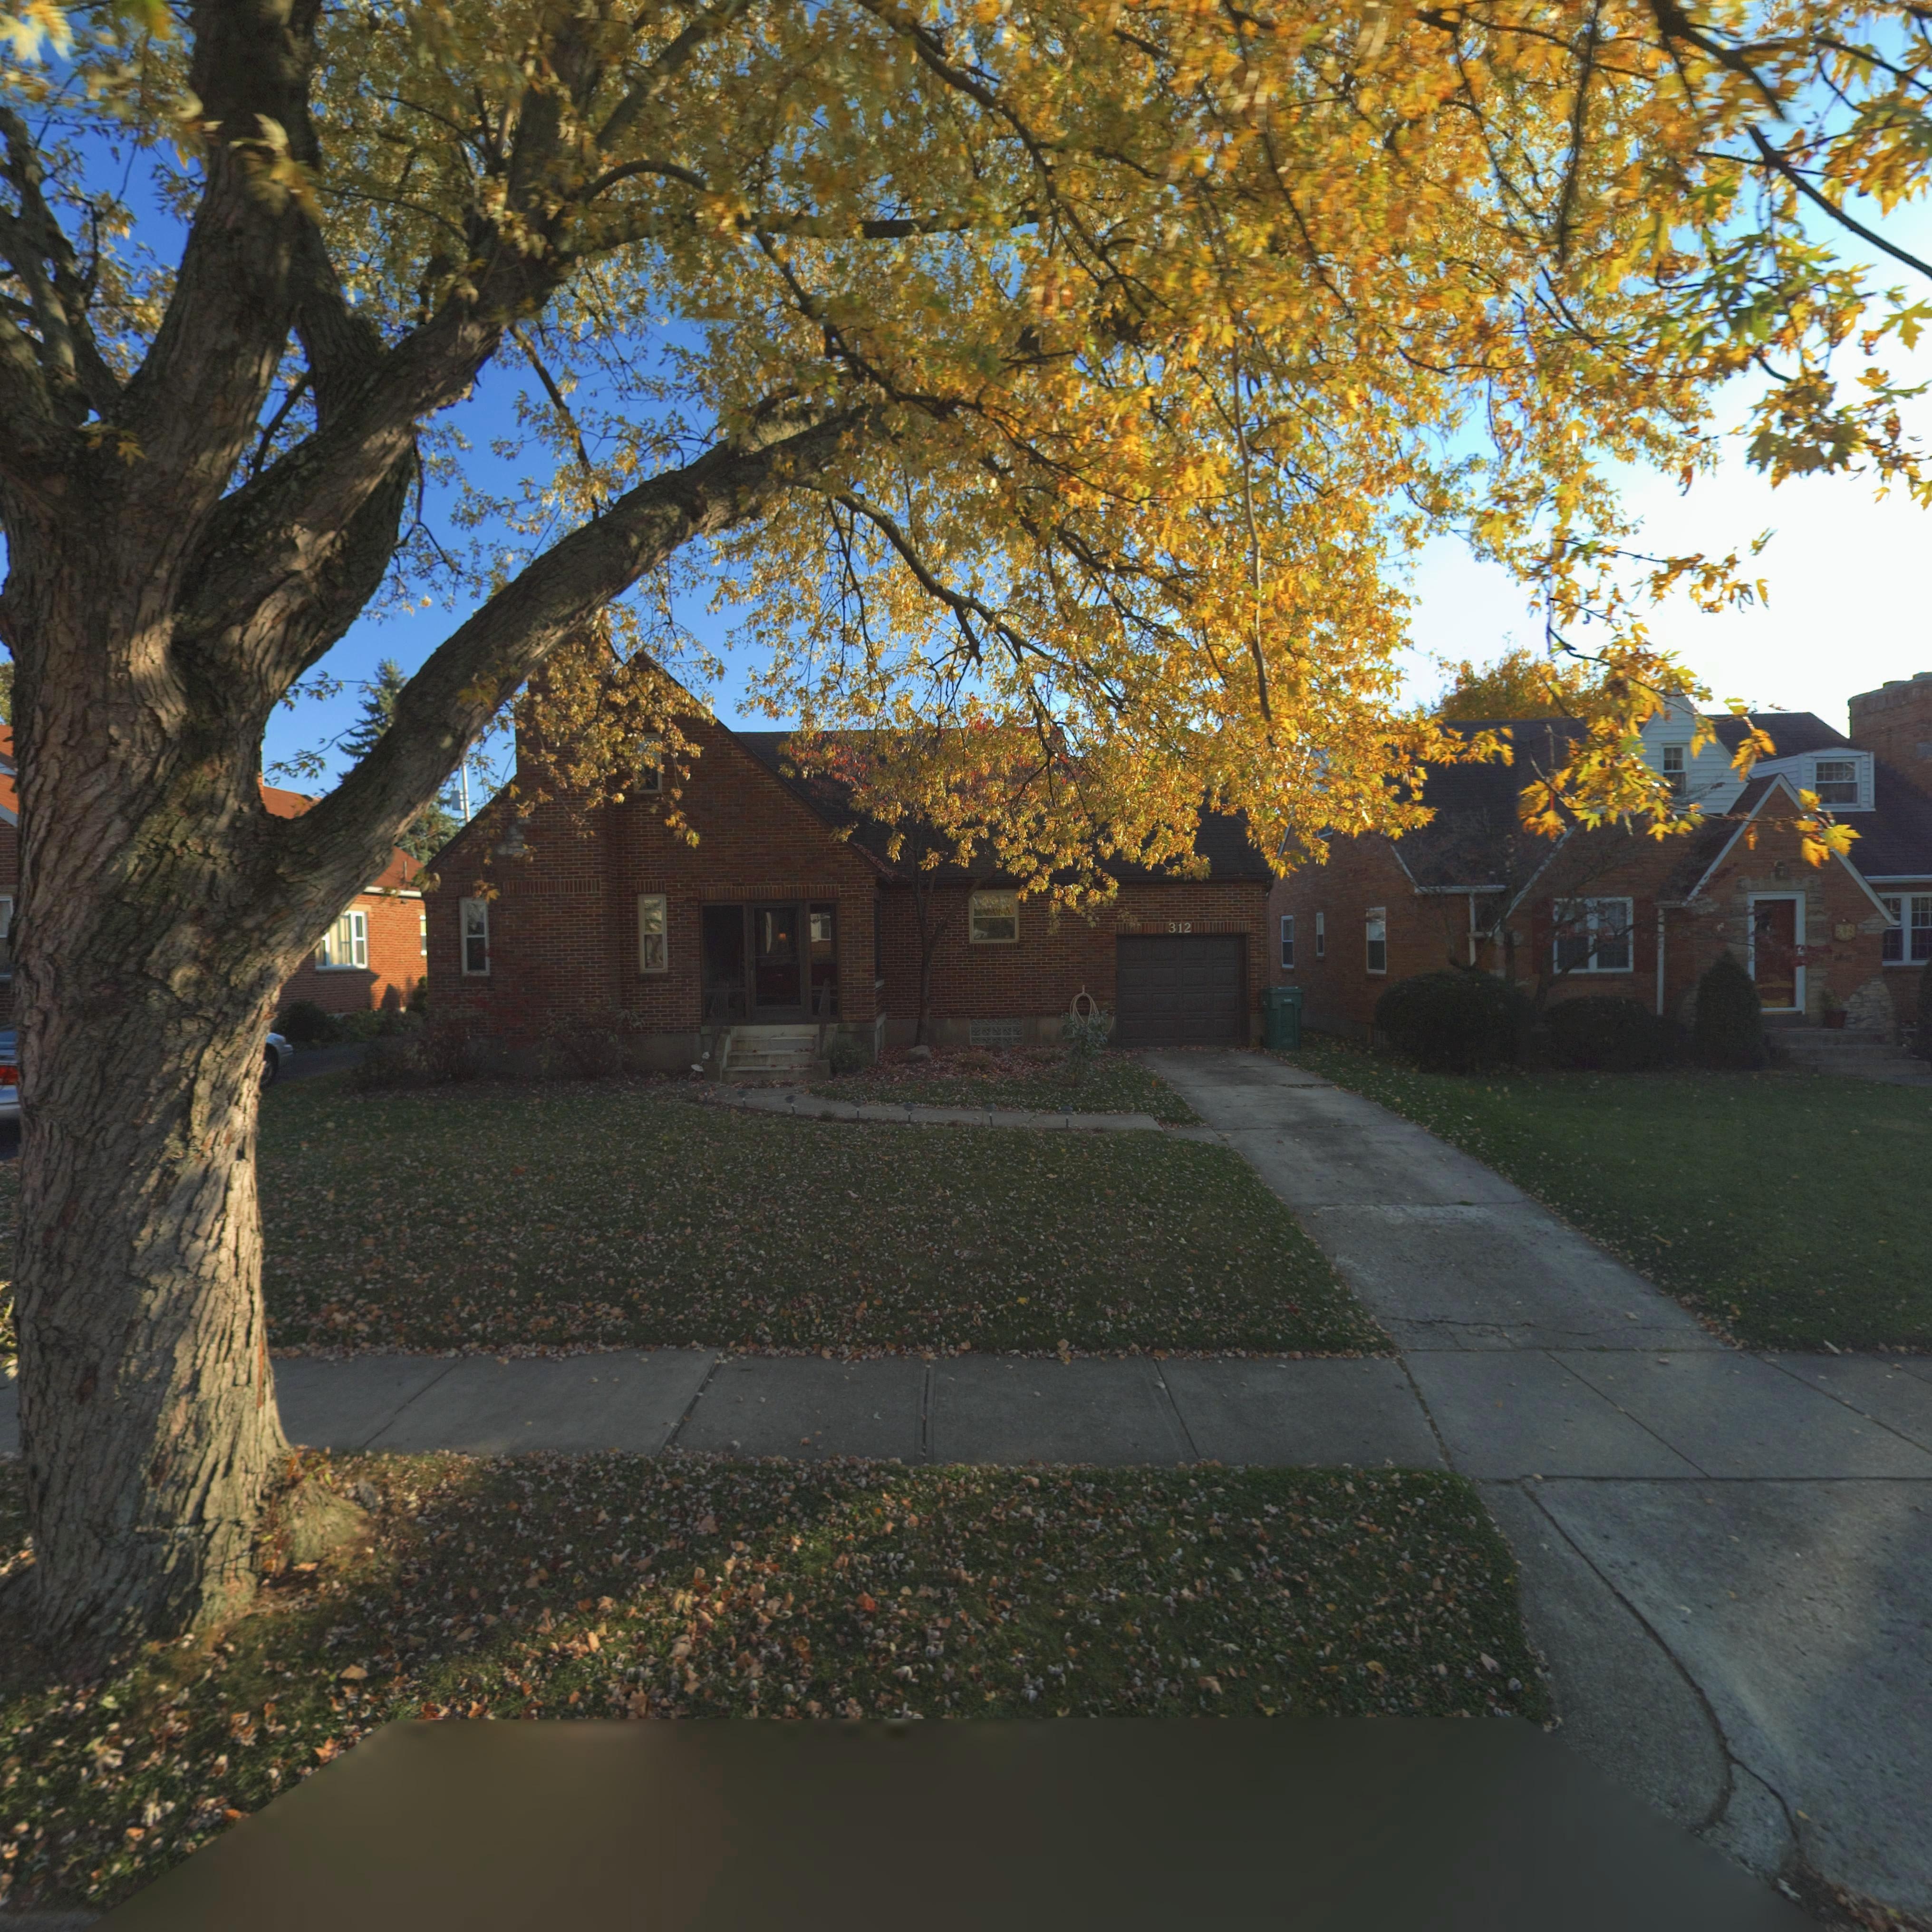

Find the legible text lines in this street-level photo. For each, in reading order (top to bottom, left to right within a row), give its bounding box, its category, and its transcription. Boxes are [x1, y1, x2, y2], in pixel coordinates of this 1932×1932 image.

[1167, 921, 1192, 934] StreetNumber: 312